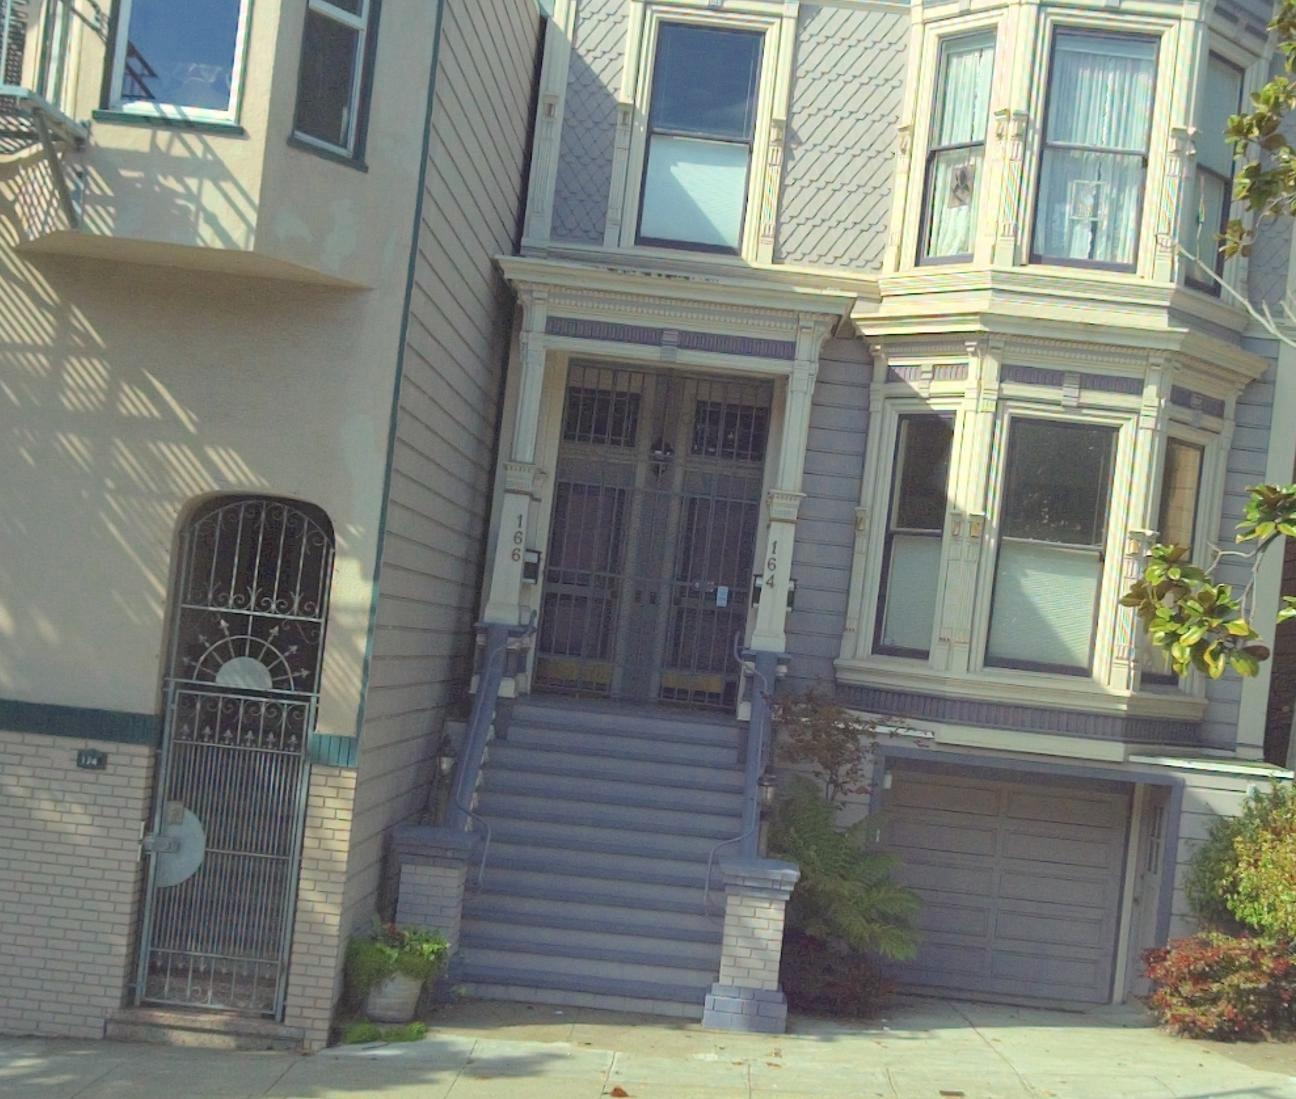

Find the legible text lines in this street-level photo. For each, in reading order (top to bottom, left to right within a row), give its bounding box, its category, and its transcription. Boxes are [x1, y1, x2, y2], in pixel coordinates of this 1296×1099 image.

[509, 511, 526, 564] StreetNumber: 166
[763, 538, 781, 590] StreetNumber: 164
[80, 755, 100, 766] None: 174